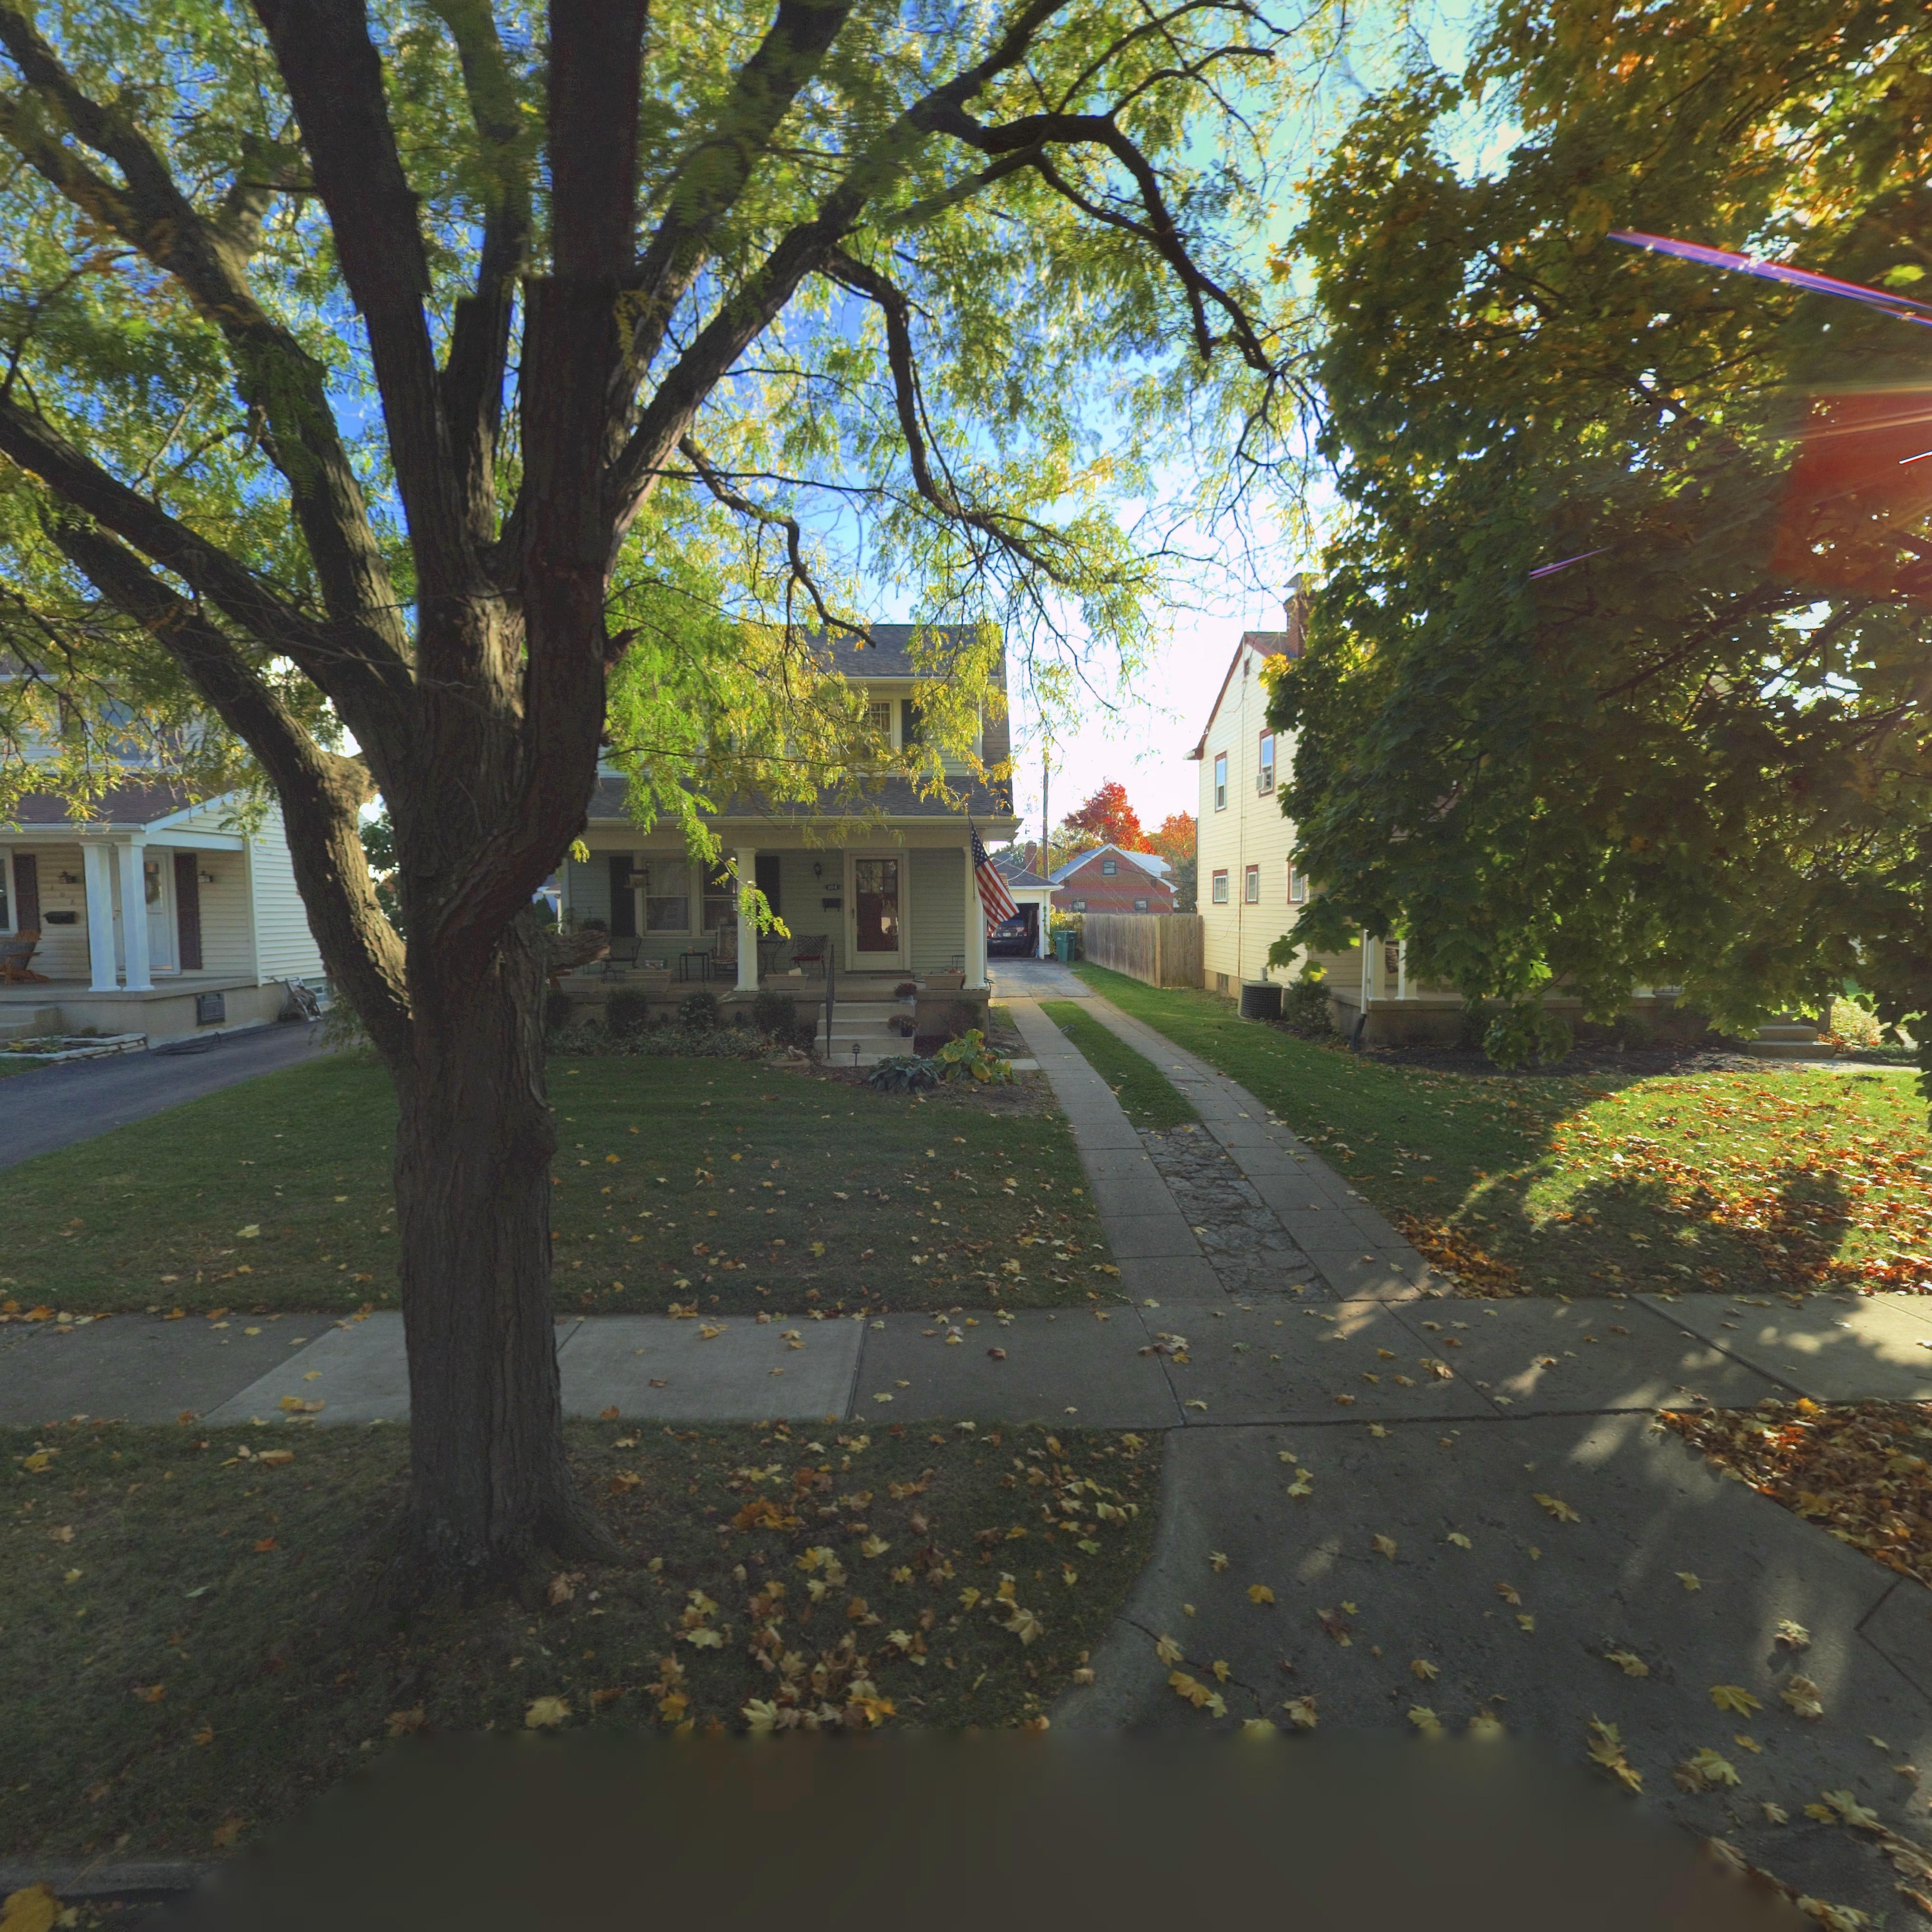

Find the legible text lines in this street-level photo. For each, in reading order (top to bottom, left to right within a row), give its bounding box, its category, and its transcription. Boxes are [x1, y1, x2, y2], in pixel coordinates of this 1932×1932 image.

[50, 884, 75, 906] StreetNumber: 108
[827, 884, 838, 890] StreetNumber: 104